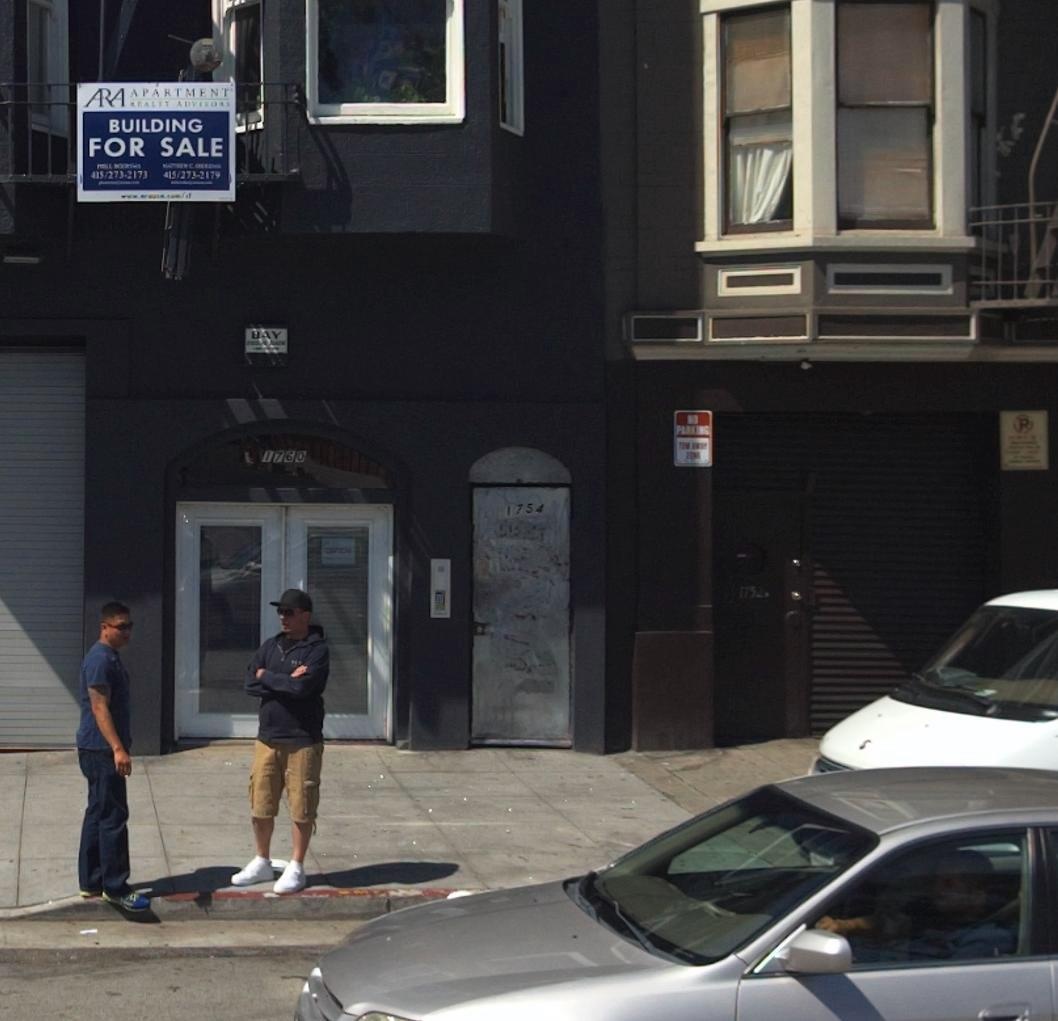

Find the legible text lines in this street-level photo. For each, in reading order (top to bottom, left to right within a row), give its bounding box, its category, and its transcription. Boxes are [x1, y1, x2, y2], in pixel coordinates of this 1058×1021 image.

[83, 87, 124, 107] None: ARA
[129, 87, 231, 98] None: APARTMENT
[130, 100, 229, 108] None: REALTY ADVISORS
[105, 117, 206, 135] None: BUILDING
[85, 137, 223, 159] None: FOR SALE
[89, 169, 149, 180] None: 415/273-2173
[161, 169, 221, 181] None: 415/273-2179
[249, 330, 283, 340] None: BAY
[687, 415, 698, 424] None: NO
[675, 425, 710, 435] None: PARKING
[678, 441, 706, 450] None: TOW AWAY
[263, 451, 304, 463] StreetNumber: 1760
[686, 452, 700, 460] None: ZONE
[506, 502, 545, 517] StreetNumber: 1754
[737, 585, 768, 599] StreetNumber: 1752